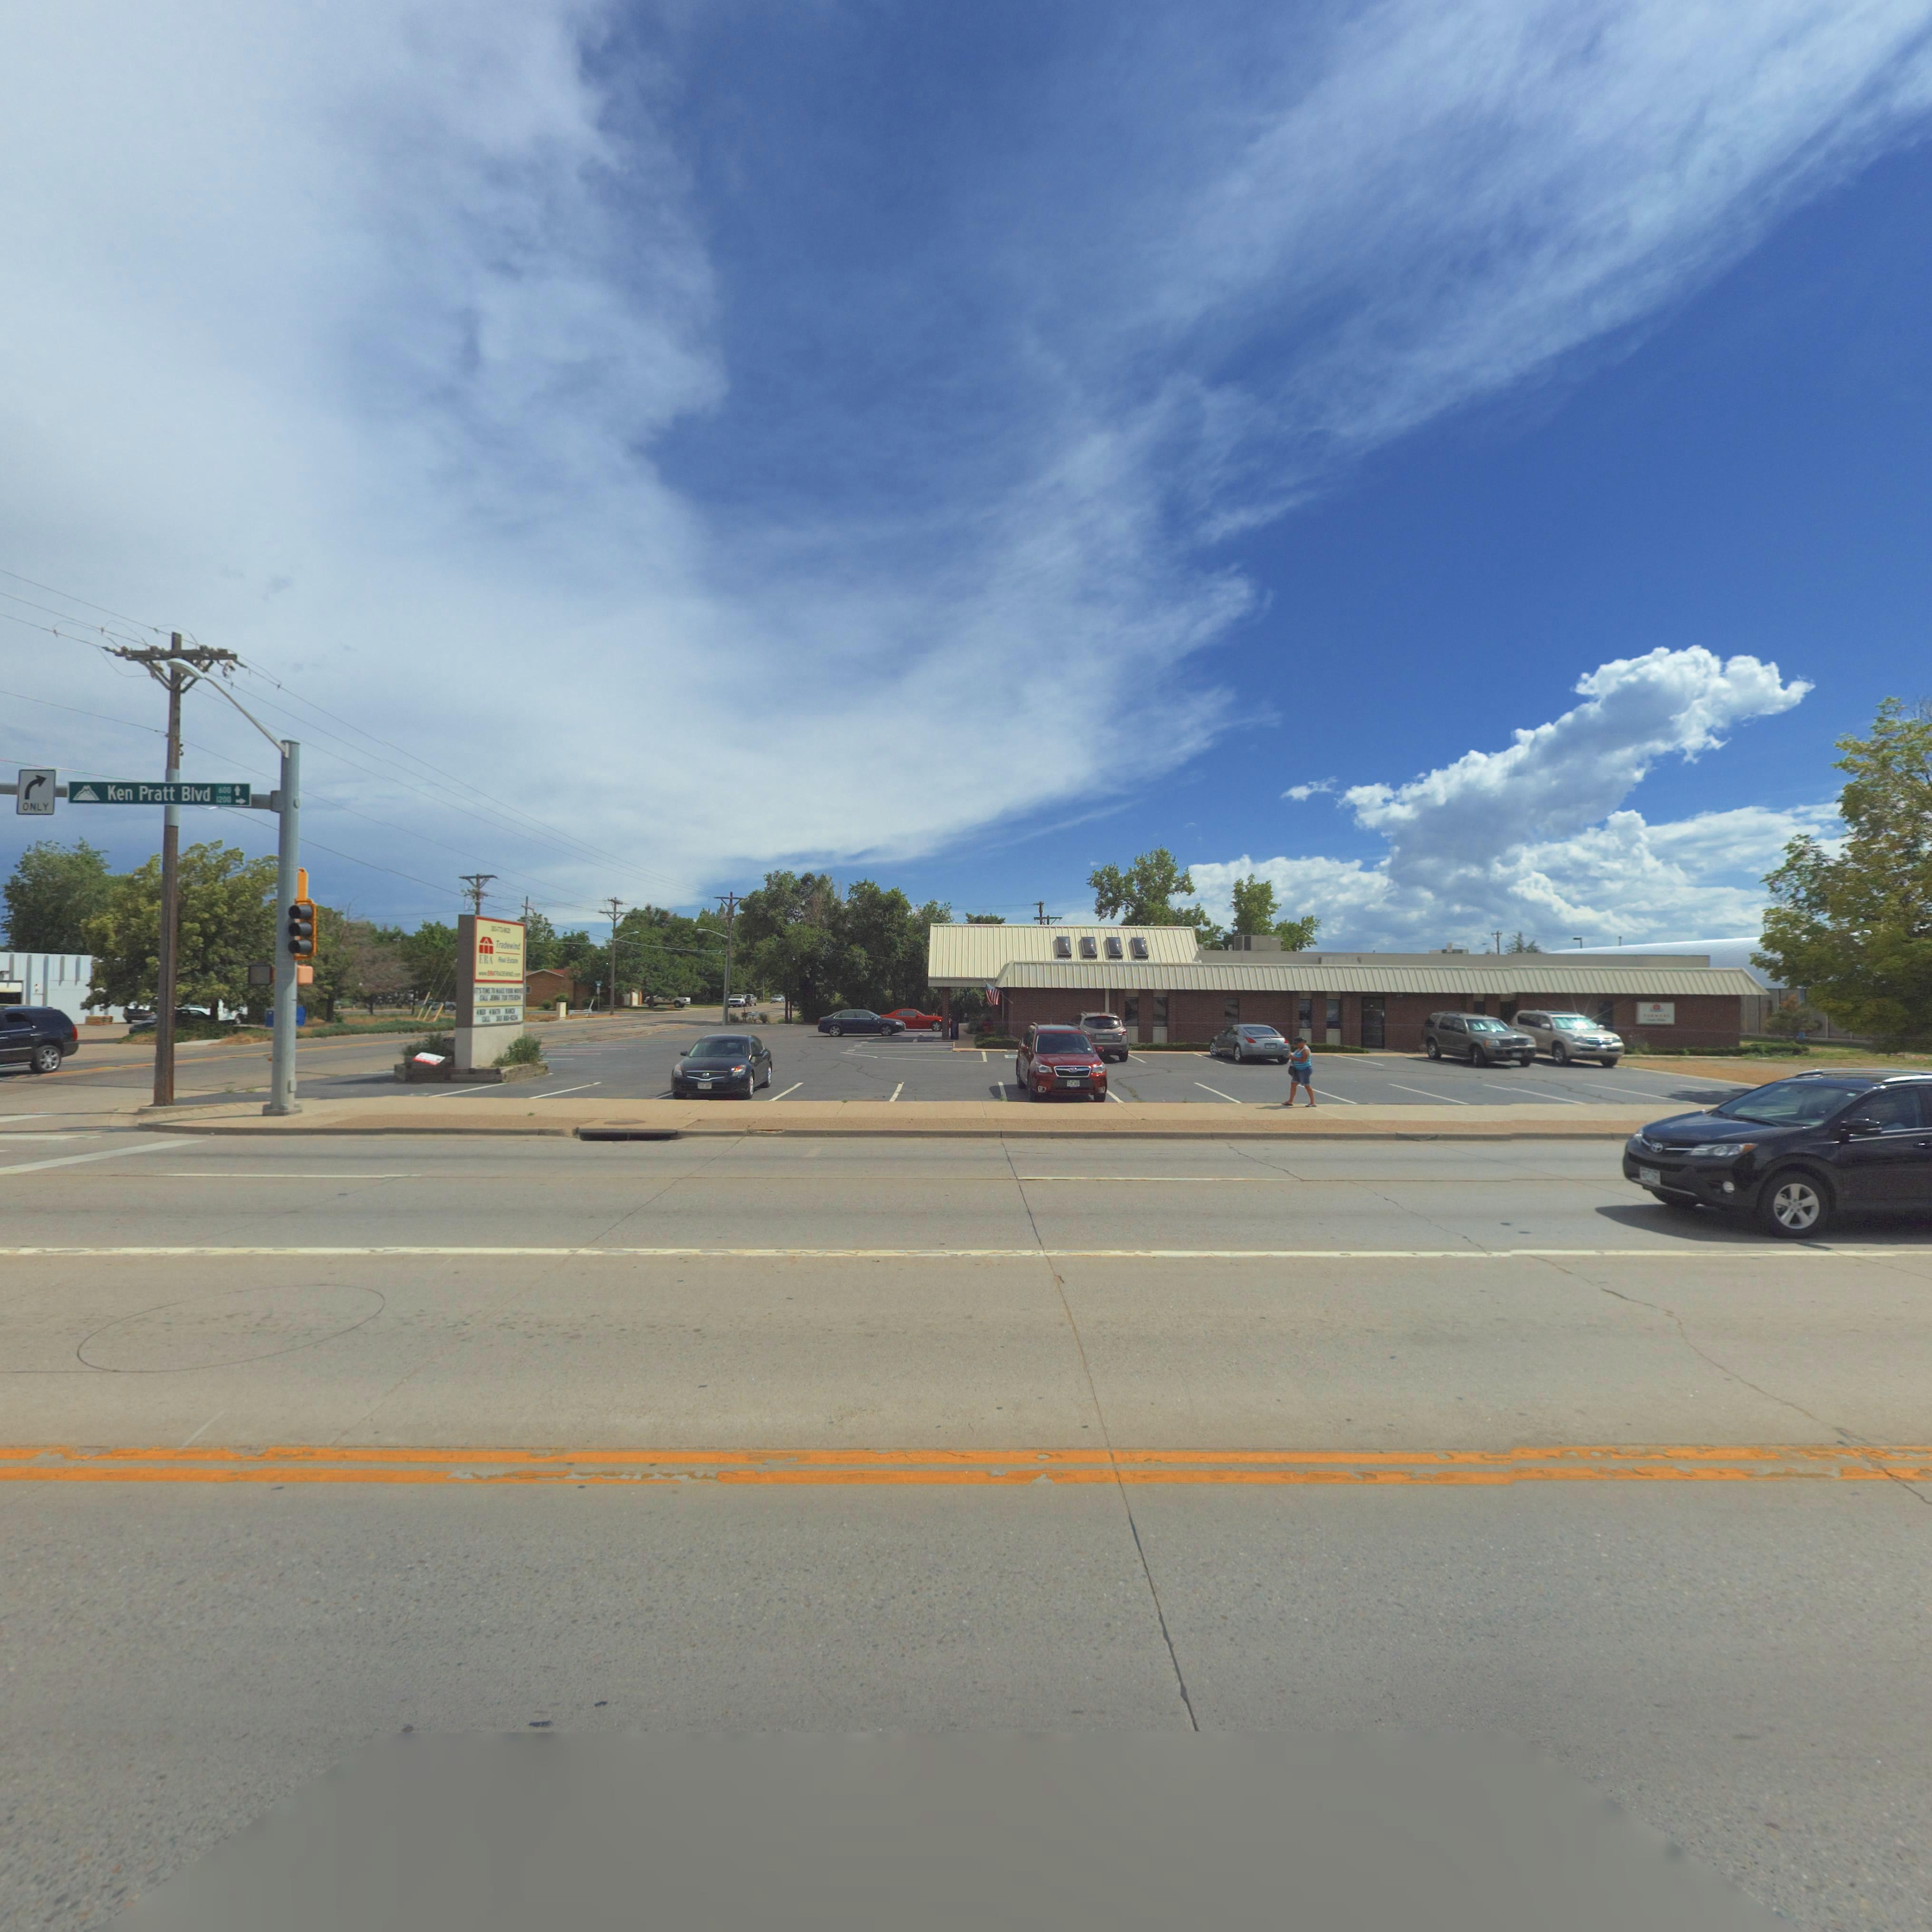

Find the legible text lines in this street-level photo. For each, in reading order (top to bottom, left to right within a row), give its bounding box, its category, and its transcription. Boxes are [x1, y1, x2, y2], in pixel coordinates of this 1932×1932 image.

[107, 784, 211, 802] StreetName: Ken Pratt Blvd
[217, 785, 232, 793] StreetNumberRange: 600
[215, 795, 246, 805] StreetNumberRange: 1200 ->
[496, 939, 521, 950] BusinessName: Tradewind
[478, 953, 493, 964] BusinessName: ERA
[497, 956, 519, 964] BusinessName: R**l Es****
[1642, 1012, 1670, 1018] BusinessName: ******S